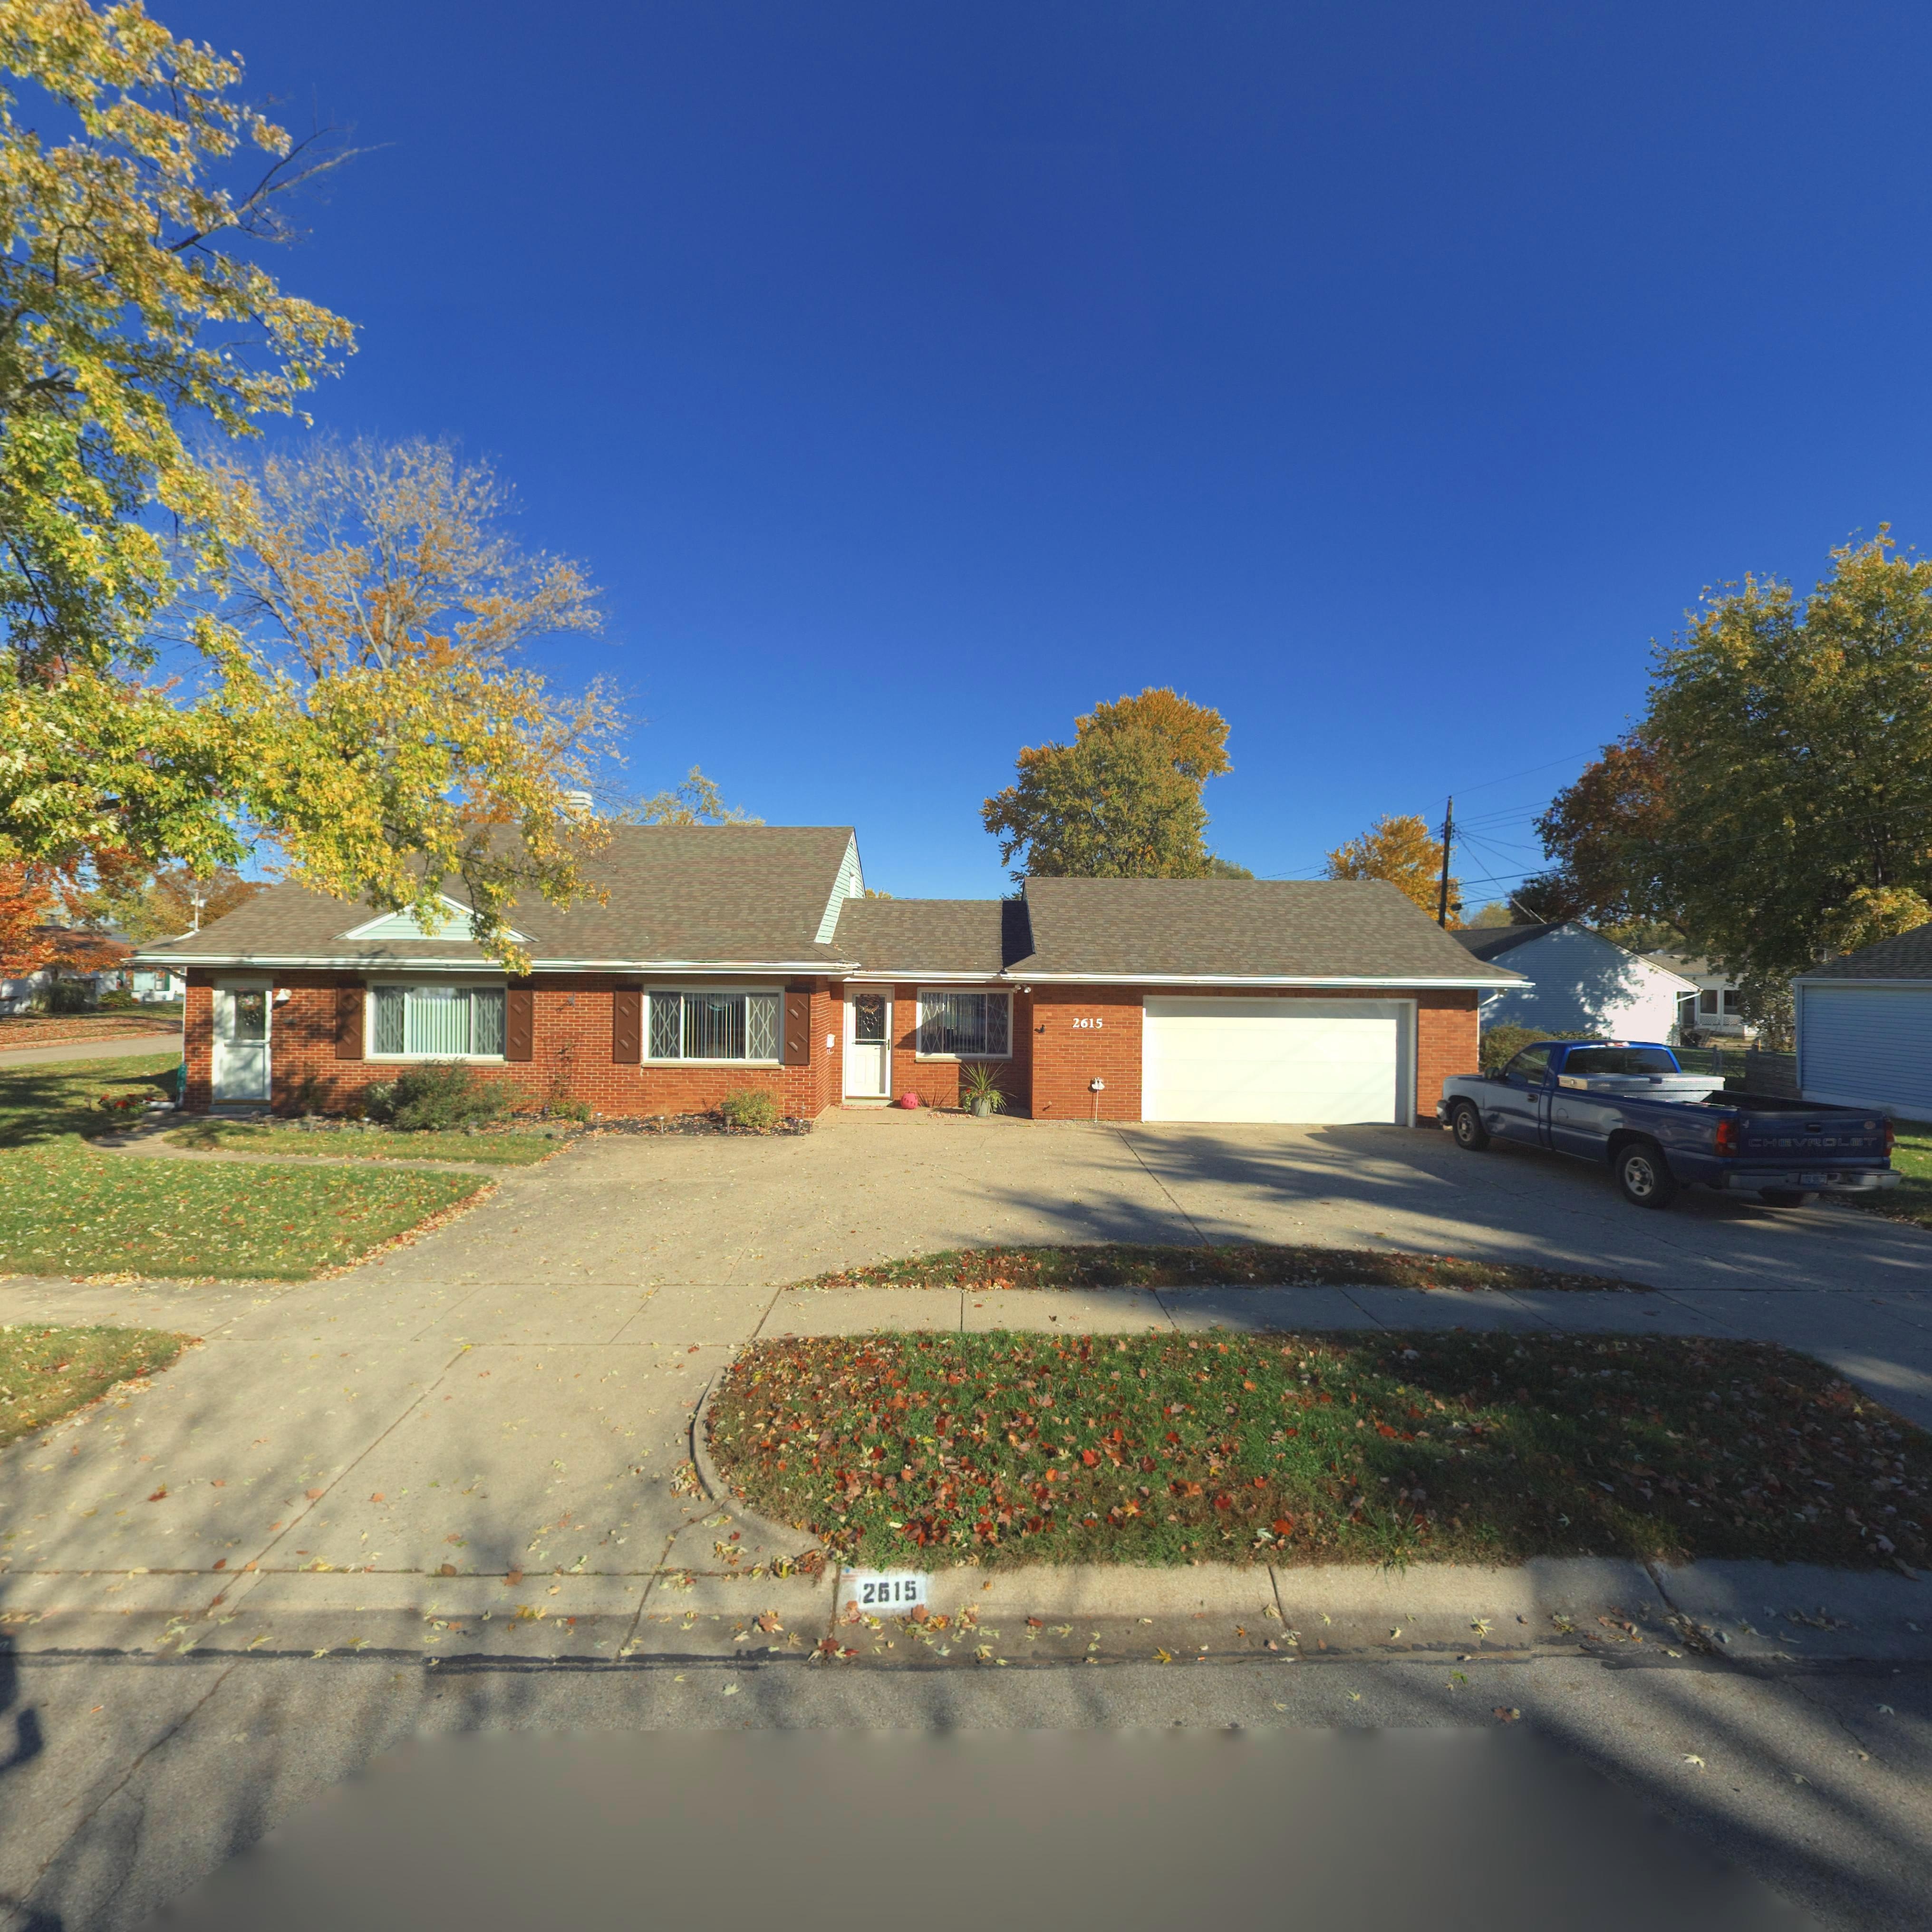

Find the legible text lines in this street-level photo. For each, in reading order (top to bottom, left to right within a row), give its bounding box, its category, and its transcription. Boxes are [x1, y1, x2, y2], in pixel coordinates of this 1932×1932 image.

[1072, 1017, 1103, 1029] StreetNumber: 2615
[862, 1580, 917, 1604] StreetNumber: 2615